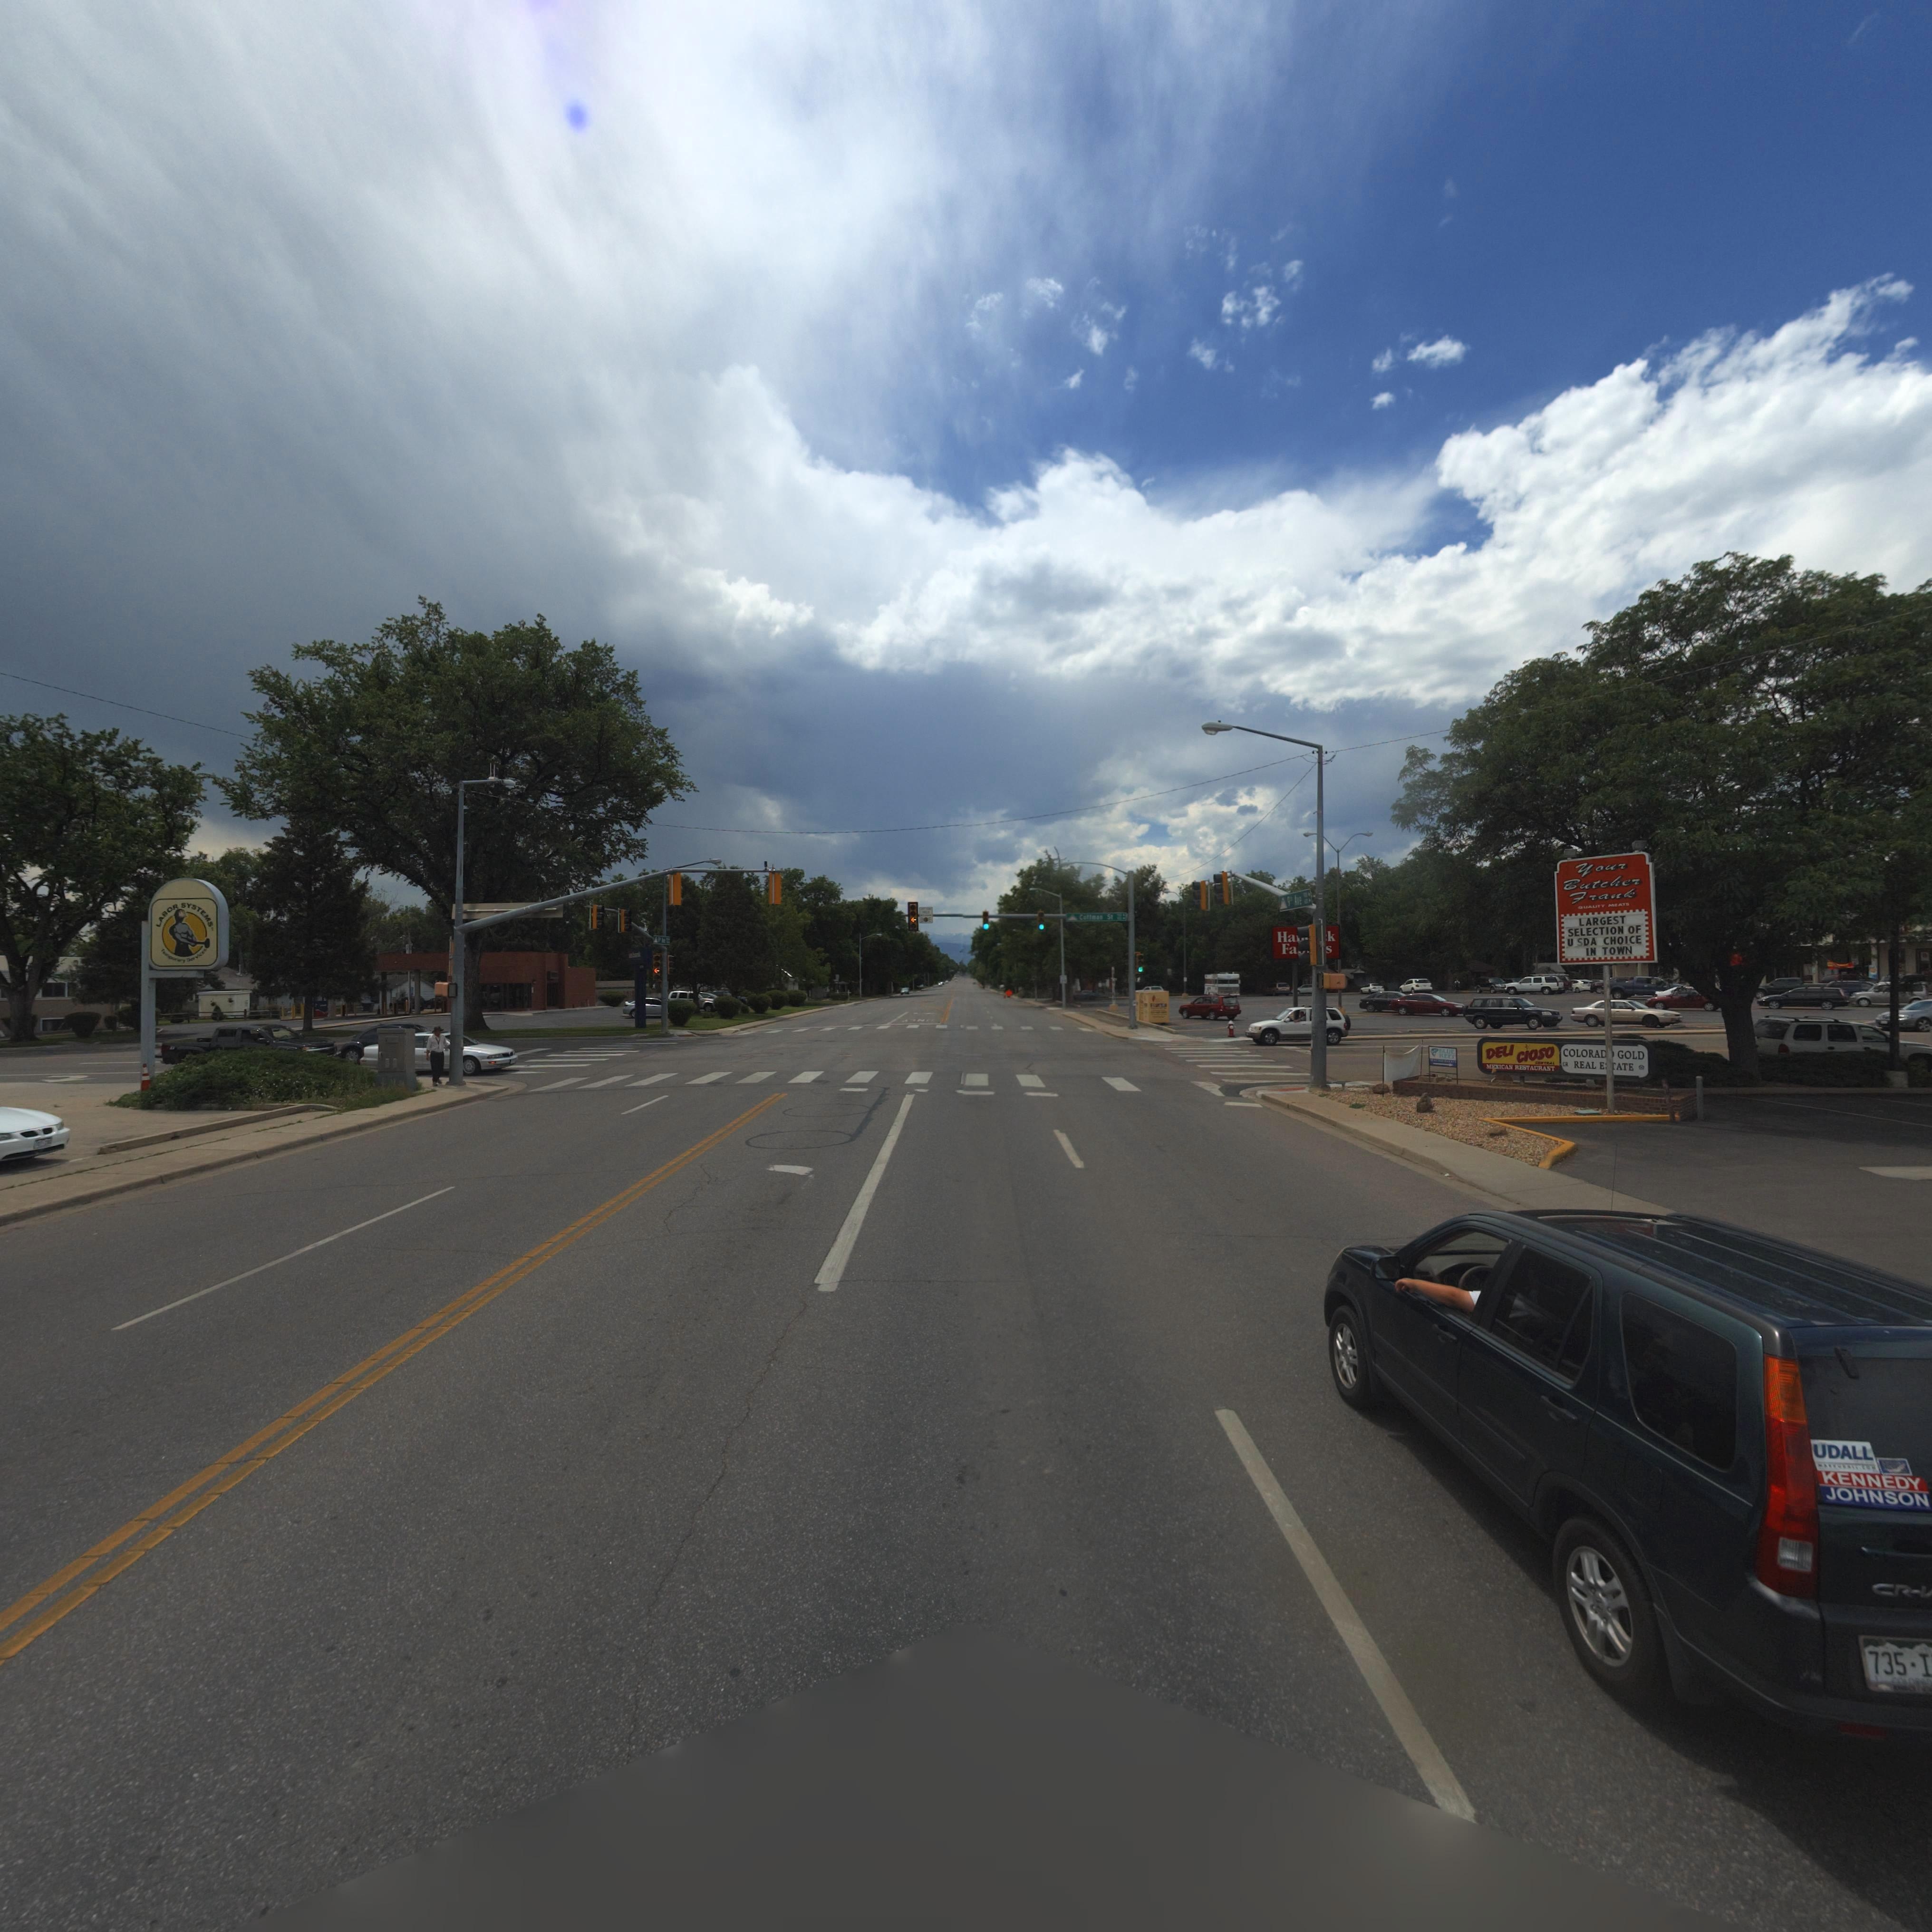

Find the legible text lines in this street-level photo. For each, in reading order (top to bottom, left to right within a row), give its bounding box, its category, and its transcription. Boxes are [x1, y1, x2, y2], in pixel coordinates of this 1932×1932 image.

[1574, 861, 1627, 878] BusinessName: Your
[1563, 874, 1642, 890] BusinessName: Butcher
[1286, 894, 1302, 907] StreetName: 9th Ave
[1568, 887, 1638, 904] BusinessName: Franks
[155, 901, 214, 927] BusinessName: LABOR SYSTEMS
[1079, 913, 1113, 920] StreetName: Coffman St
[1117, 913, 1122, 917] StreetNumber: 700
[657, 937, 666, 943] StreetName: 9th Ave
[1277, 930, 1336, 943] BusinessName: Ha****k
[628, 950, 642, 959] BusinessName: usbank
[1281, 943, 1332, 956] BusinessName: Fa****s
[1485, 1043, 1515, 1060] BusinessName: DELI
[1516, 1044, 1555, 1063] BusinessName: cioso
[1563, 1048, 1644, 1060] BusinessName: COLORAD* GOLD
[1574, 1061, 1633, 1071] BusinessName: REAL E**ATE